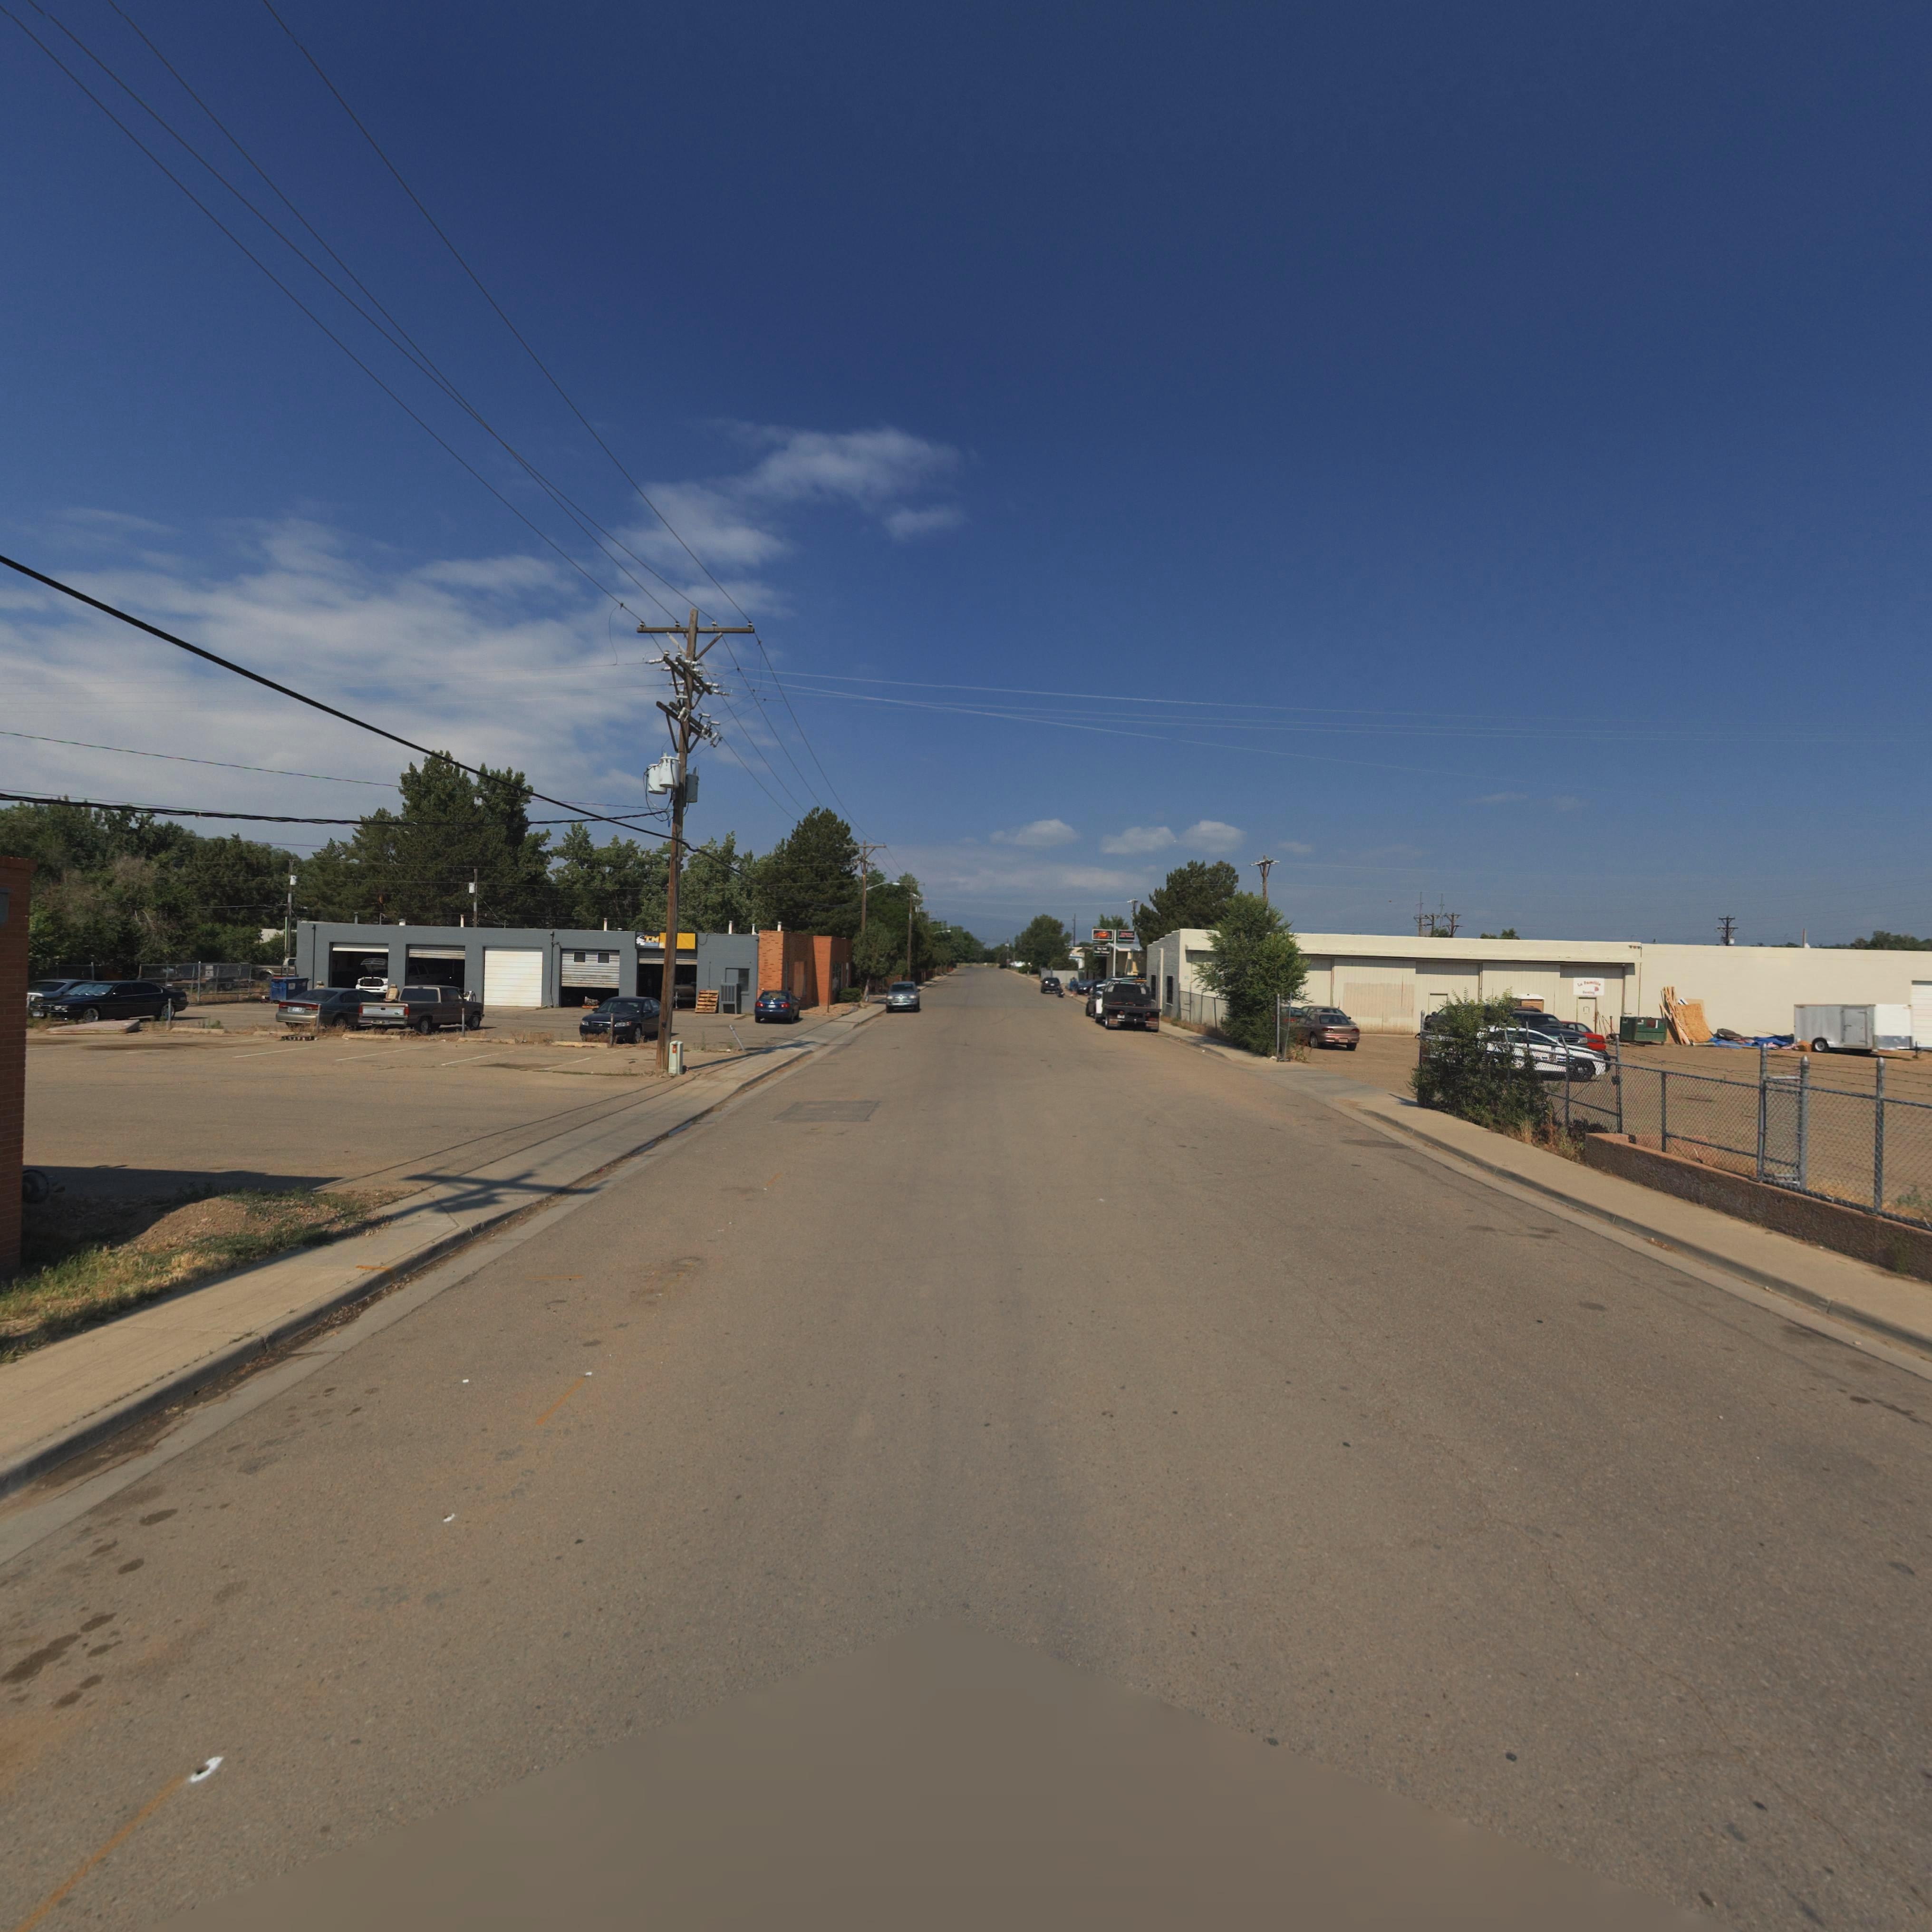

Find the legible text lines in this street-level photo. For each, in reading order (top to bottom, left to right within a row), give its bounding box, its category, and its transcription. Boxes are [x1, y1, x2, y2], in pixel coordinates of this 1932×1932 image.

[1577, 980, 1601, 986] BusinessName: La Fam****